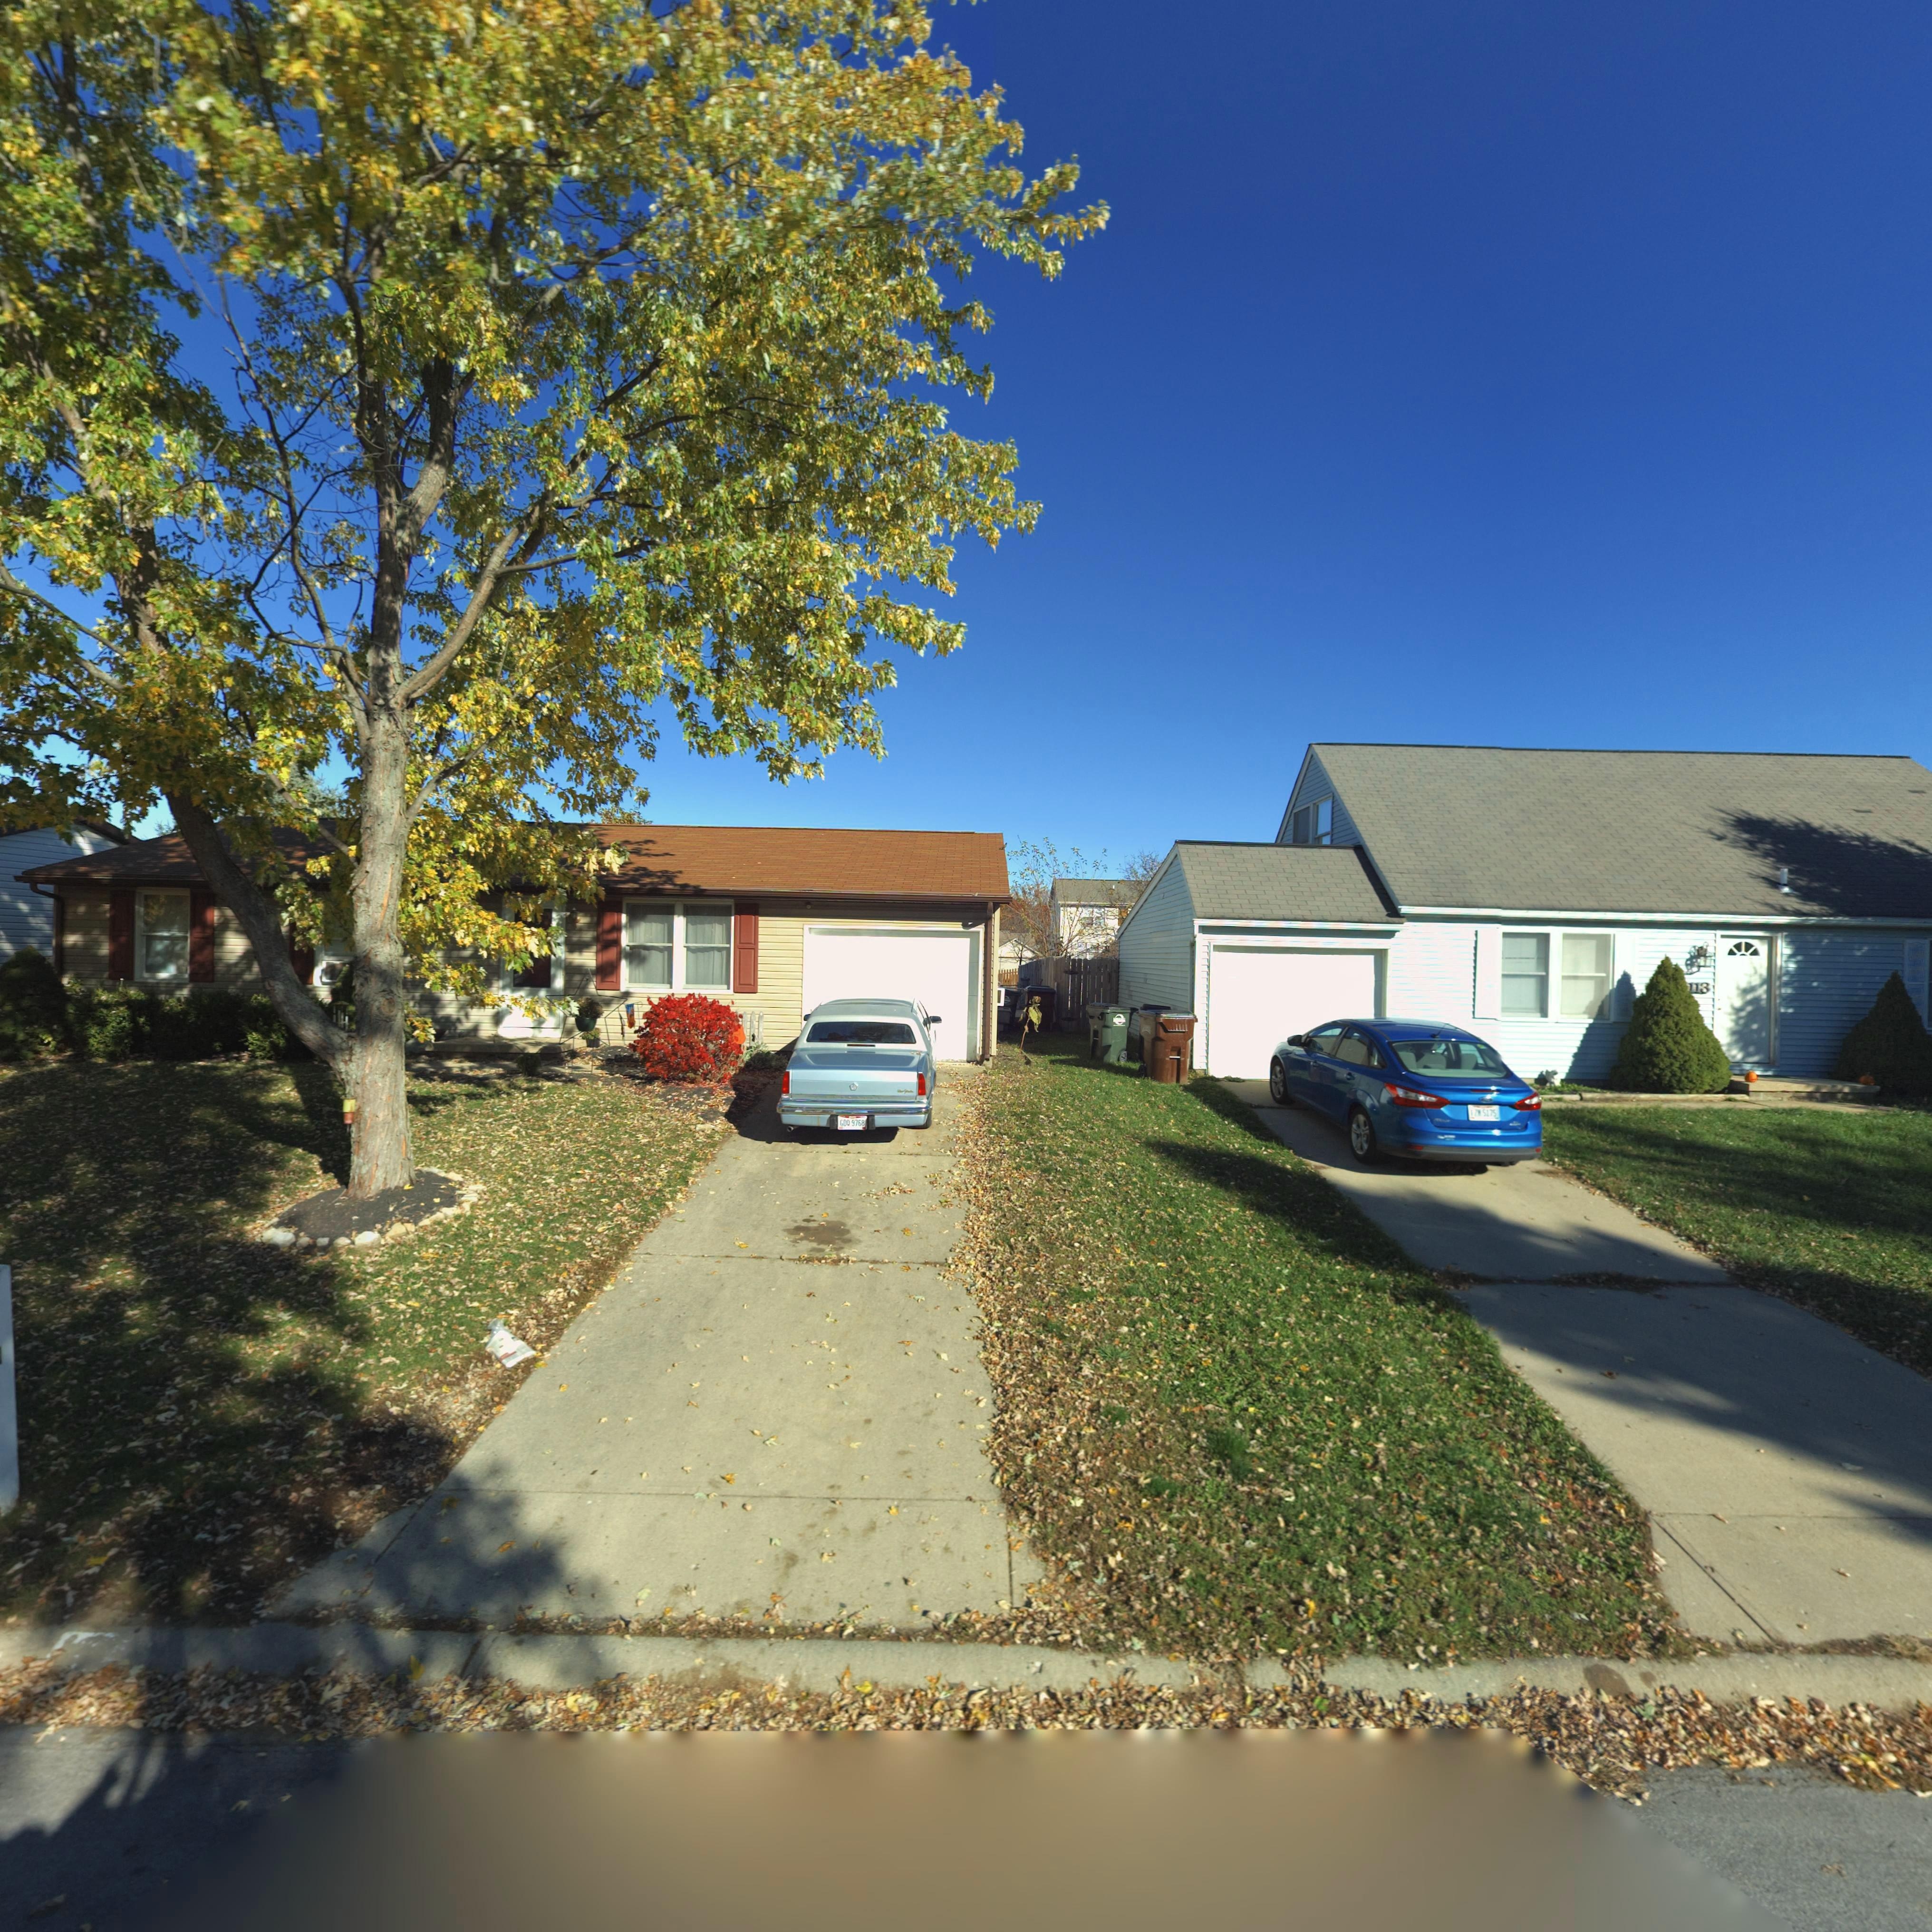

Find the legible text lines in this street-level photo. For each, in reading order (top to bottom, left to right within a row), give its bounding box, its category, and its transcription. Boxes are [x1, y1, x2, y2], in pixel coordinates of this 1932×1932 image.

[1686, 982, 1710, 994] StreetNumber: 113